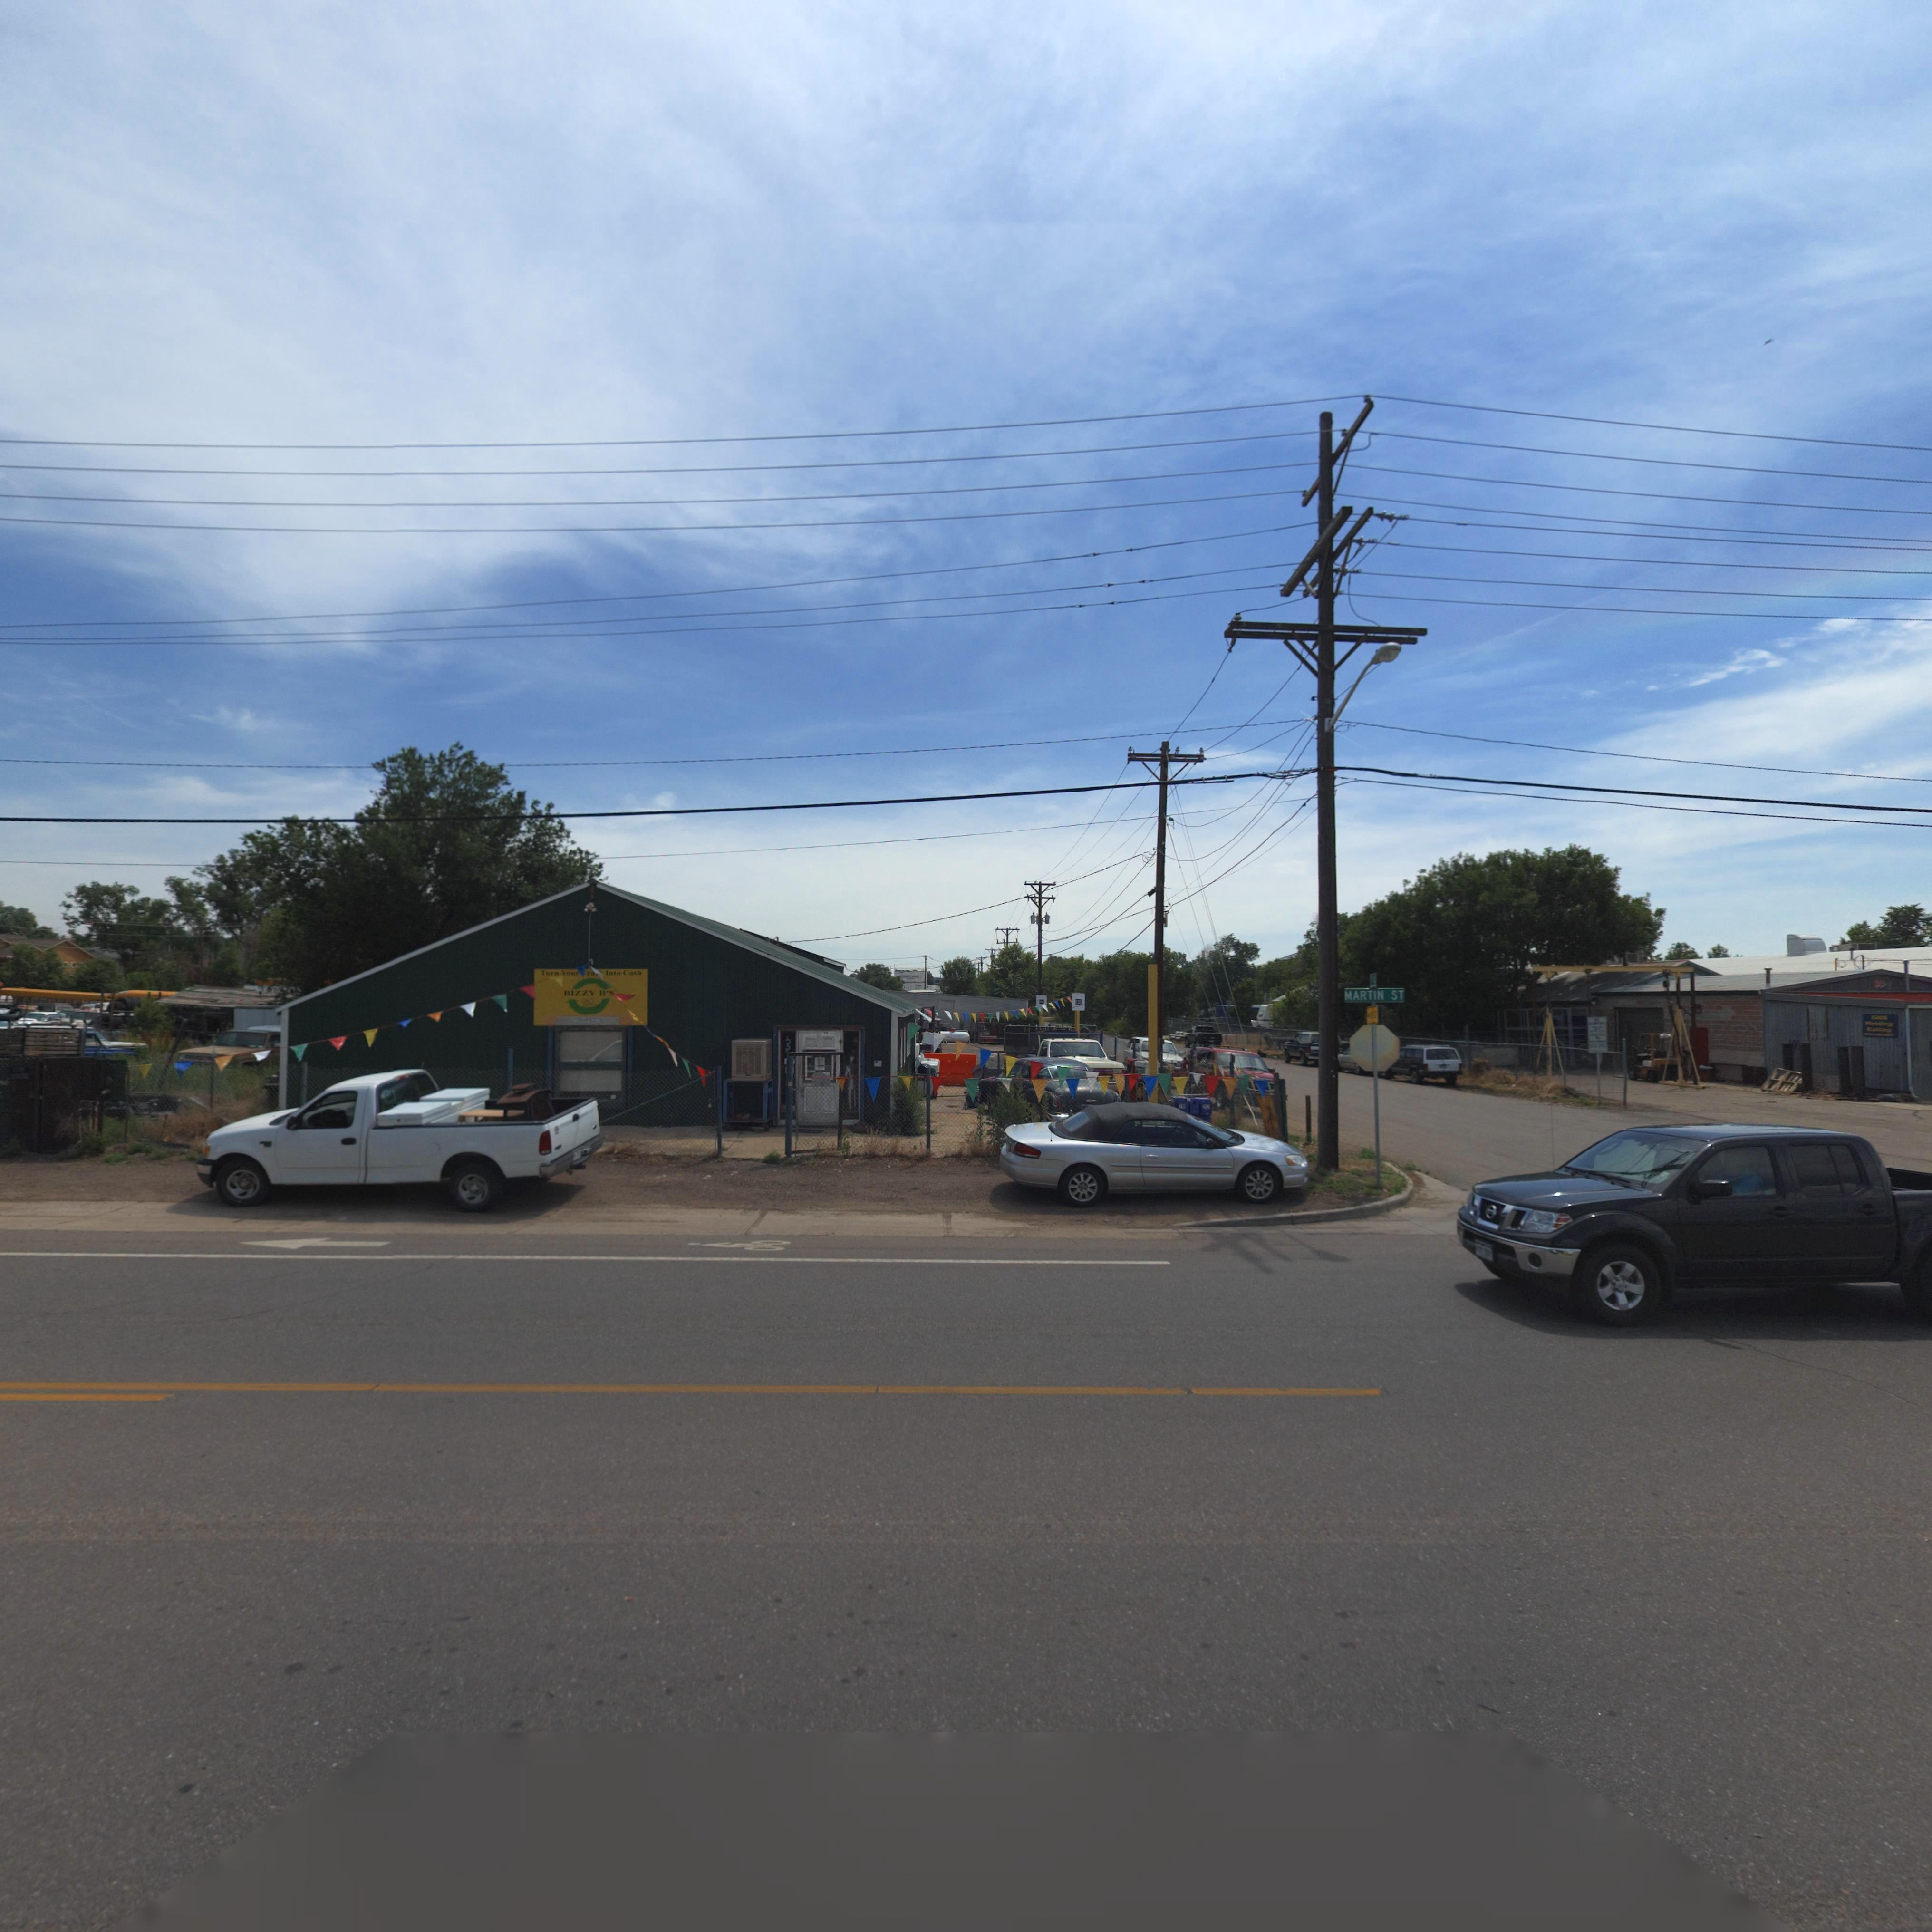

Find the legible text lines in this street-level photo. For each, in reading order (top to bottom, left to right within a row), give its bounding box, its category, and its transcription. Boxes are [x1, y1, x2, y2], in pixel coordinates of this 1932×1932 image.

[561, 989, 617, 997] BusinessName: BIZZY B'S
[1343, 989, 1405, 1001] StreetName: MARTIN ST